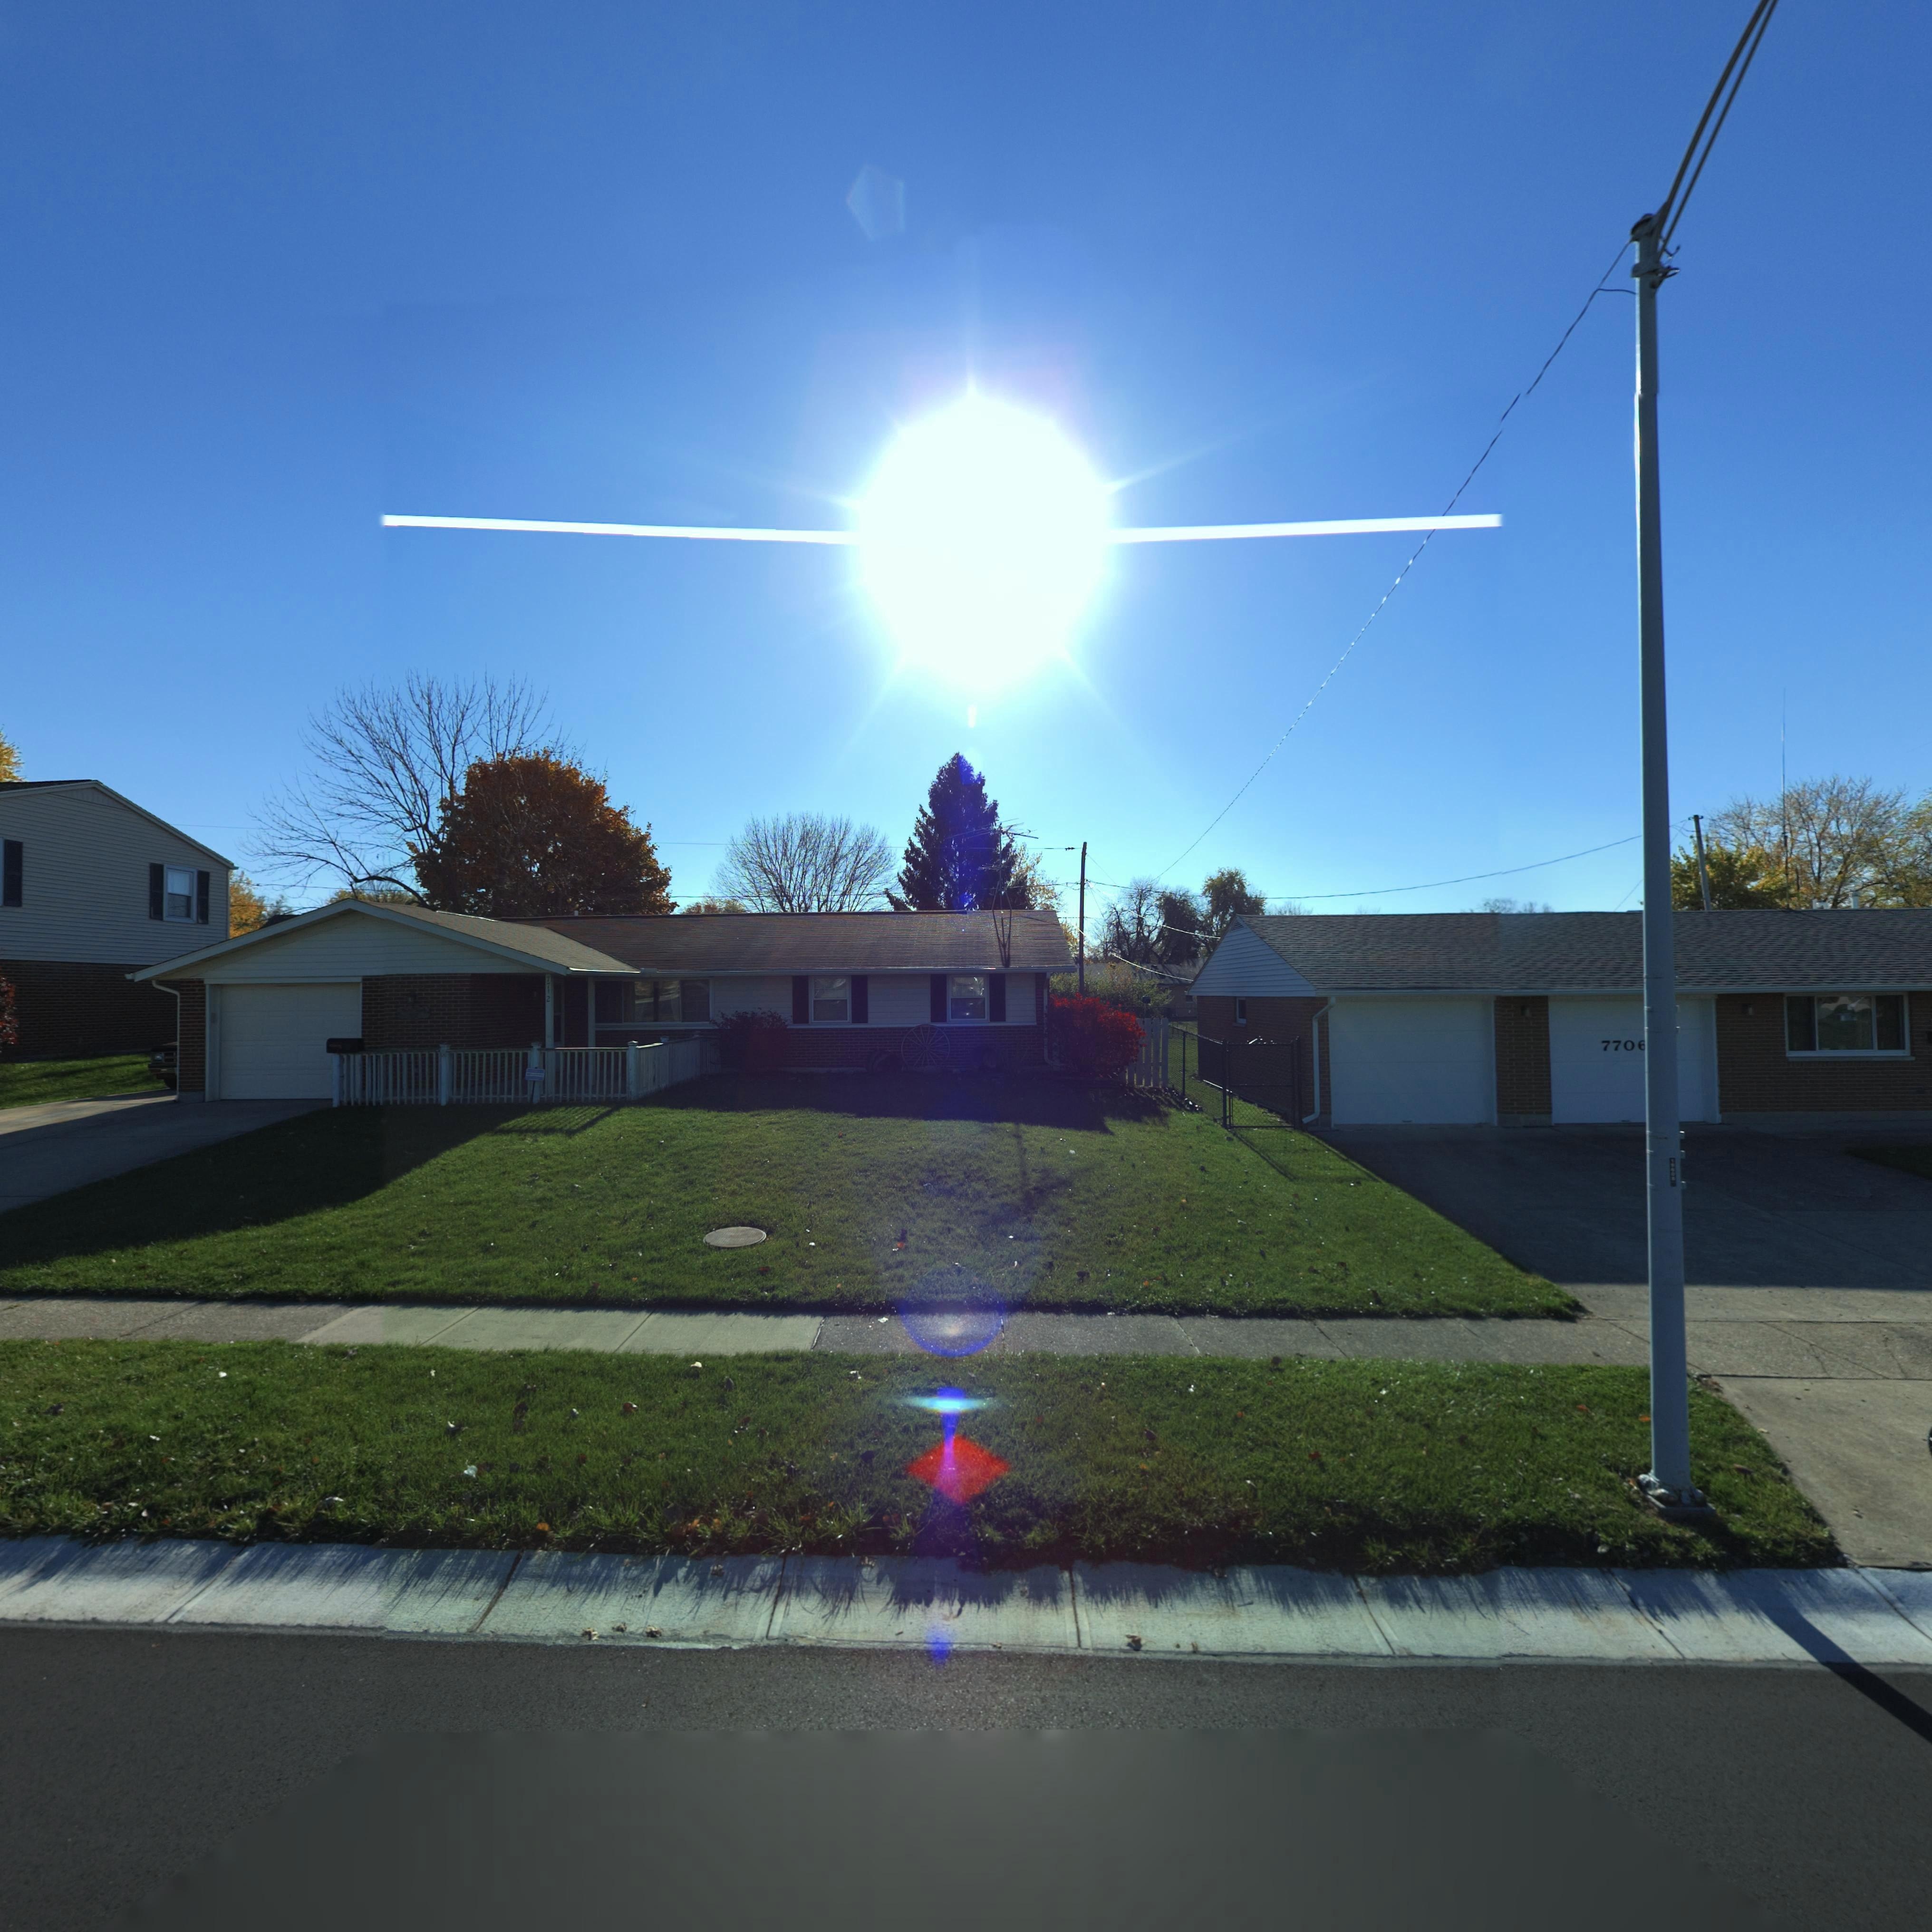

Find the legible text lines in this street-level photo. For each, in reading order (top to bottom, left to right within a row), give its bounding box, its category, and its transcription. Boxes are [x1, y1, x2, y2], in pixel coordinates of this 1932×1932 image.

[545, 975, 552, 1004] StreetNumber: 7712
[1599, 1038, 1647, 1053] StreetNumber: 770*